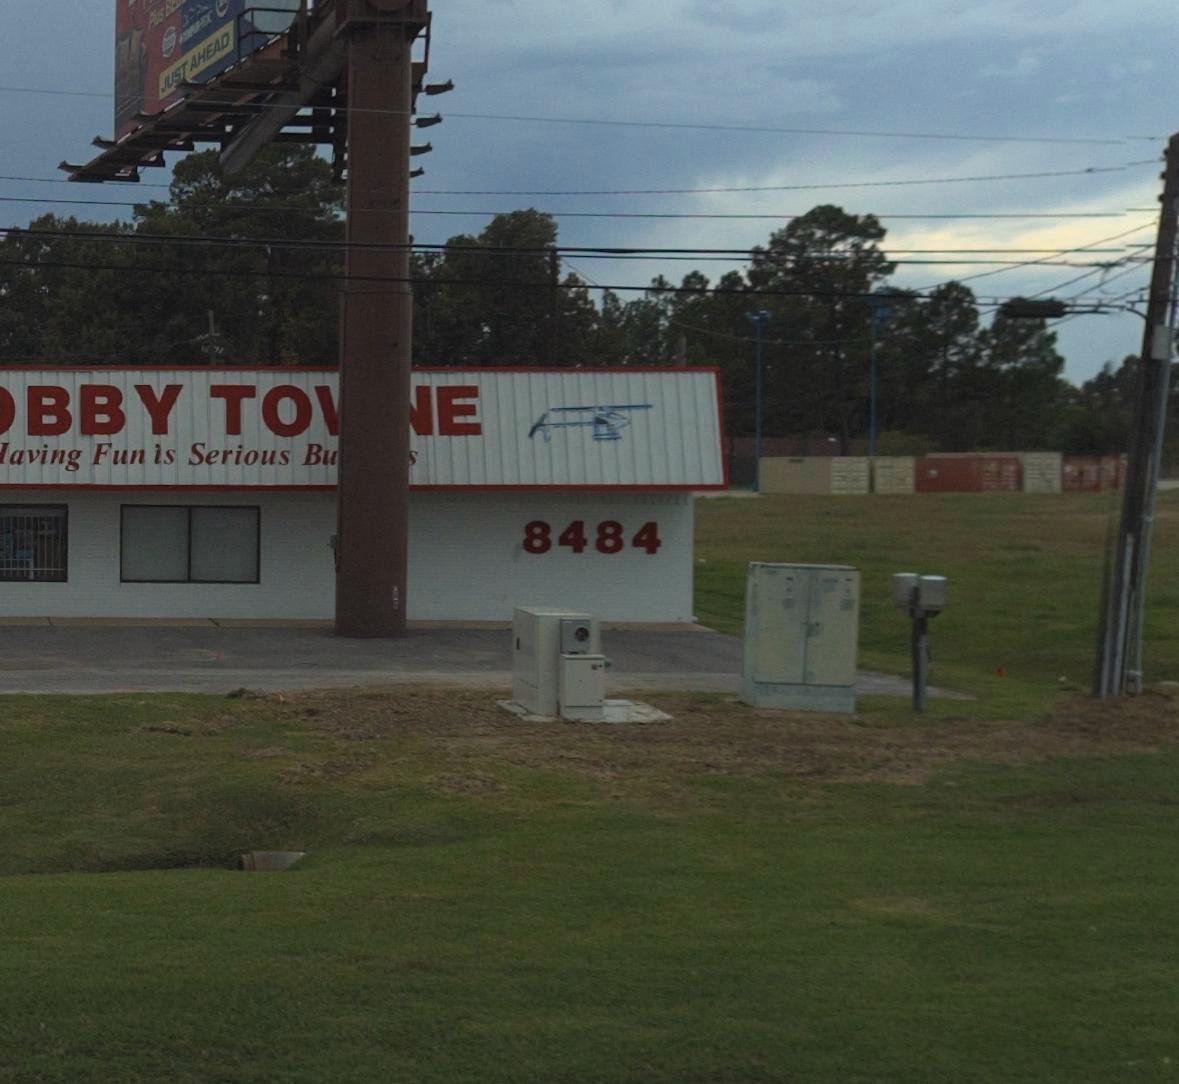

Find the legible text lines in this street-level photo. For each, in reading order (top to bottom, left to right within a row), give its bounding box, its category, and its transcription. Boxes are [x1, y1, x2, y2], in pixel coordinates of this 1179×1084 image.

[159, 29, 231, 95] None: JU*T AHEAD
[26, 383, 315, 438] BusinessName: BBY TO
[434, 383, 484, 437] BusinessName: E
[8, 442, 339, 473] None: aving Fun is Serious Bu
[521, 519, 662, 555] StreetNumber: 8484